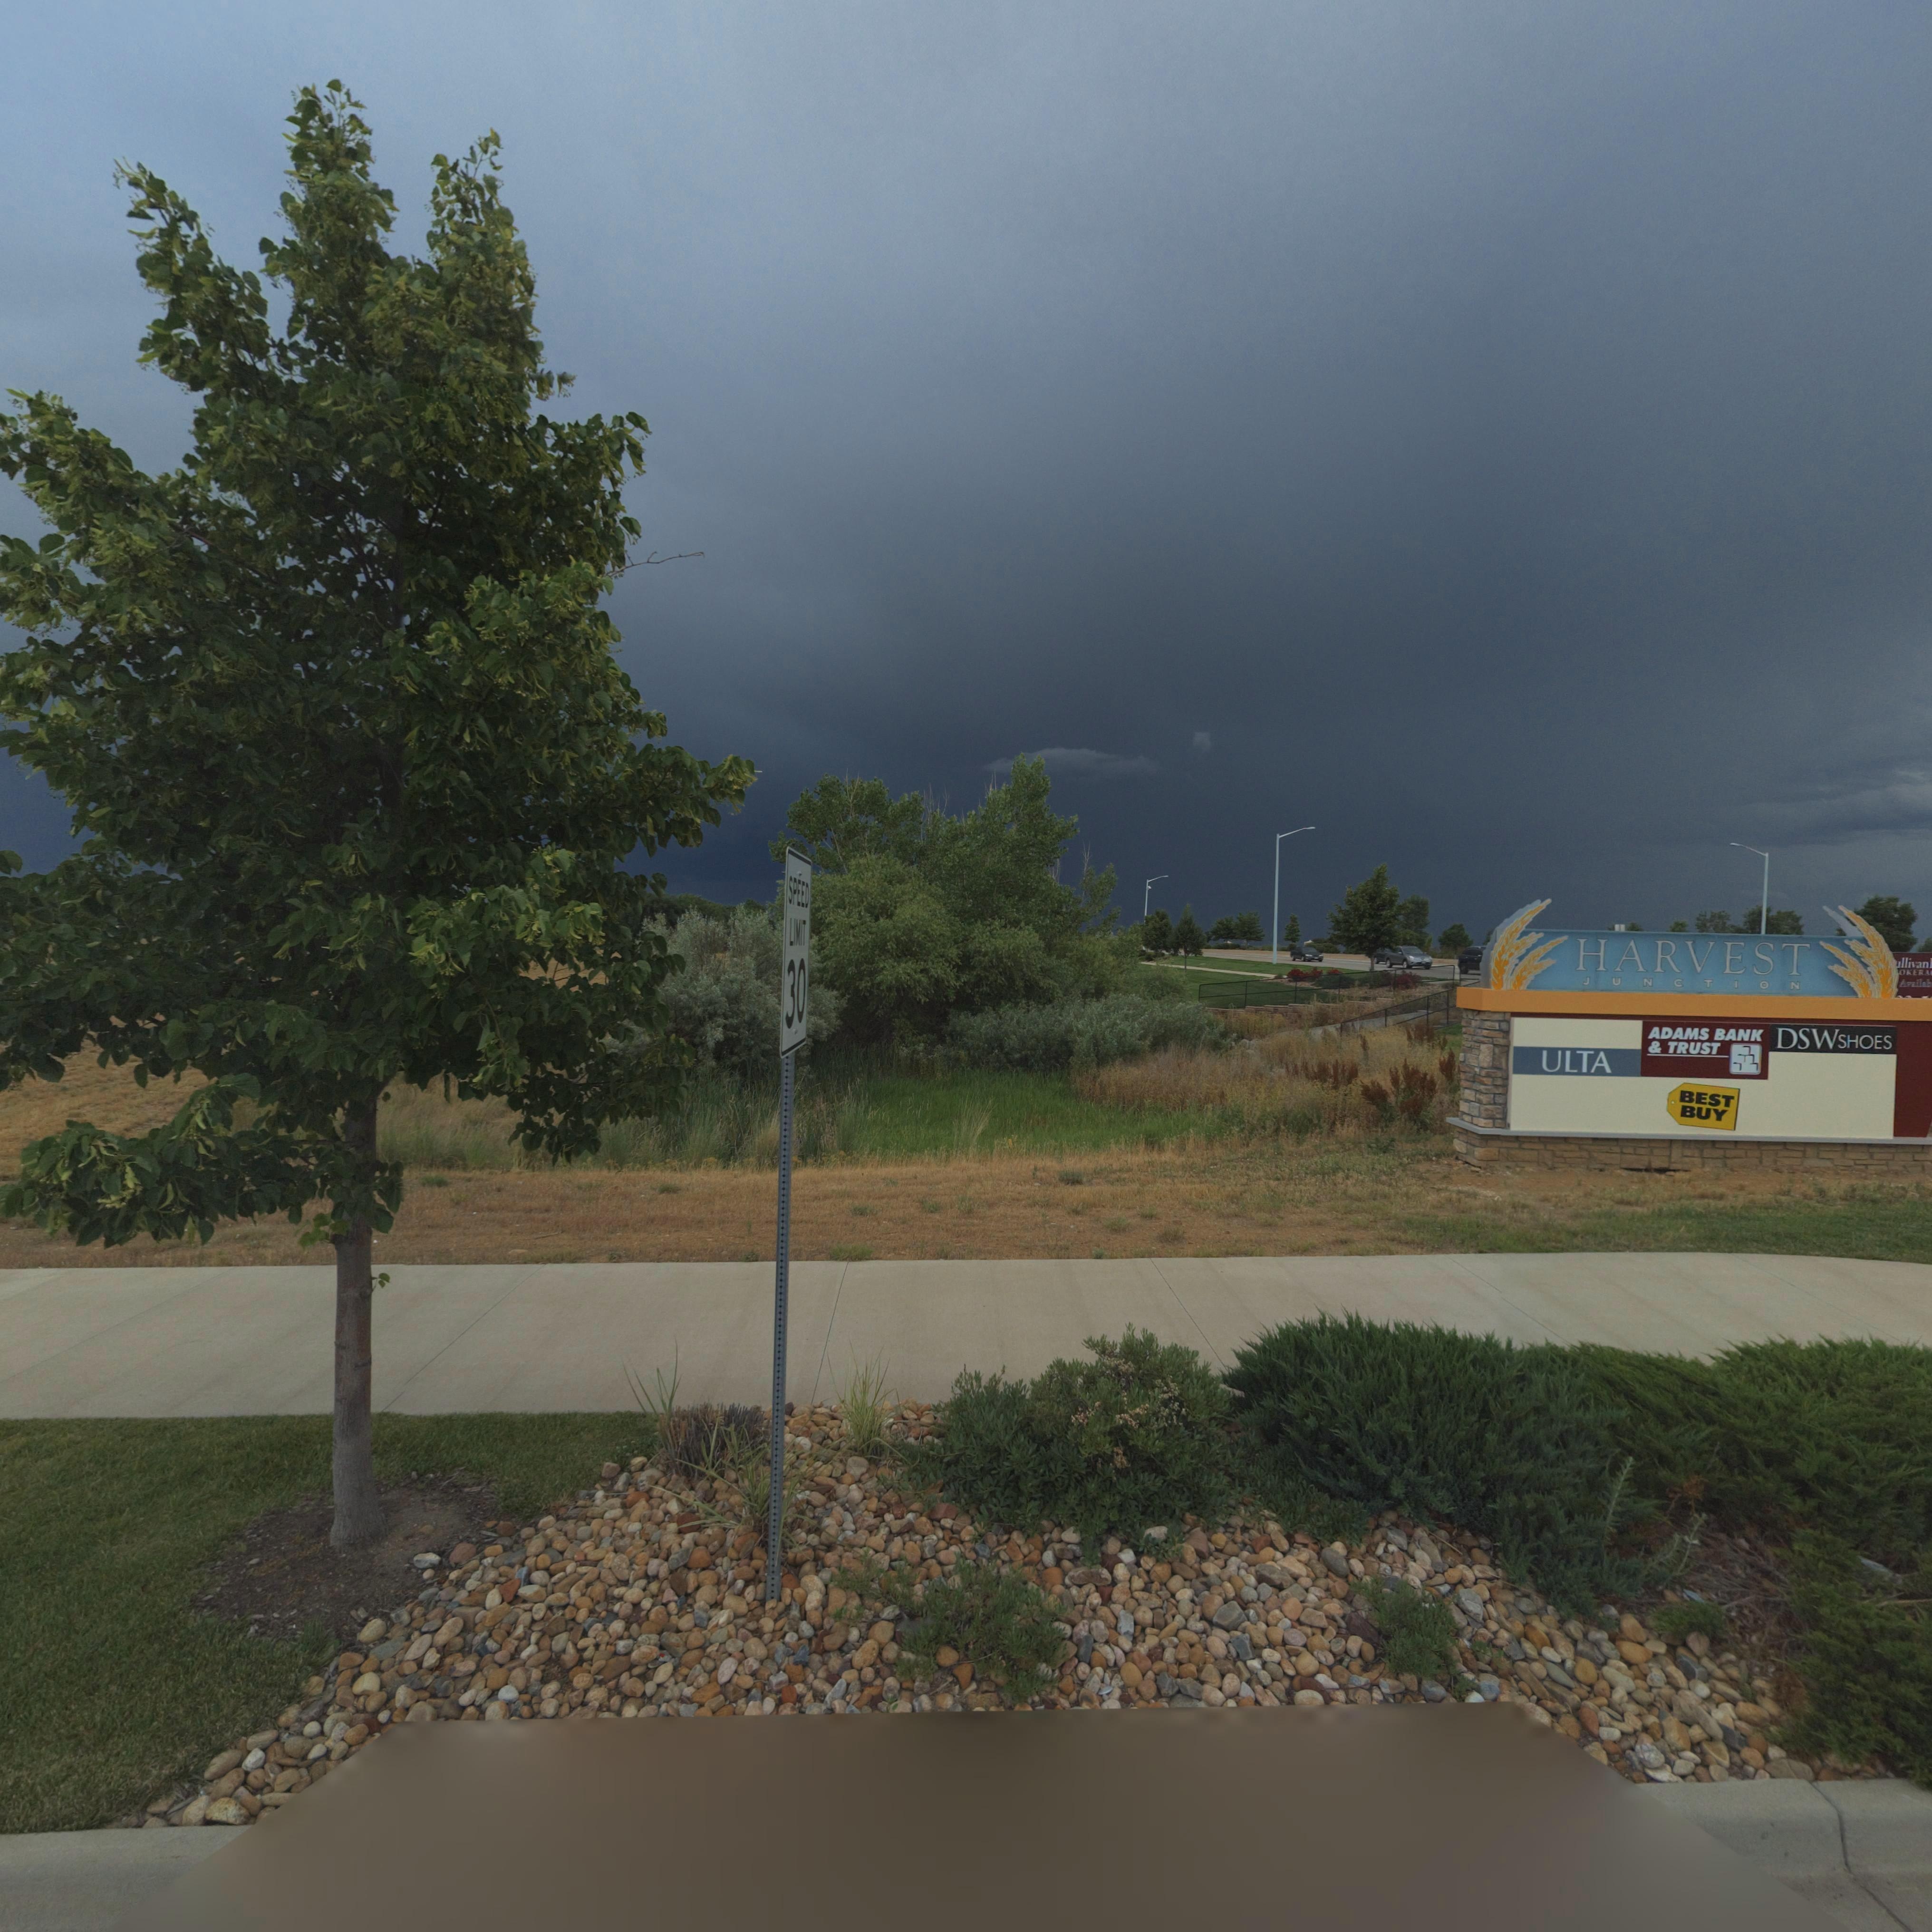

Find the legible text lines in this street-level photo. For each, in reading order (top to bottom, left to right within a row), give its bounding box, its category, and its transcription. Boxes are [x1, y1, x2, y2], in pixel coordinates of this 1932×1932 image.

[1647, 1026, 1765, 1041] BusinessName: ADAMS BANK
[1776, 1027, 1892, 1050] BusinessName: DSWSHOES
[1646, 1041, 1721, 1054] BusinessName: & TRUST
[1542, 1050, 1612, 1073] BusinessName: ULTA
[1679, 1090, 1734, 1108] BusinessName: BEST
[1681, 1105, 1728, 1121] BusinessName: BUY